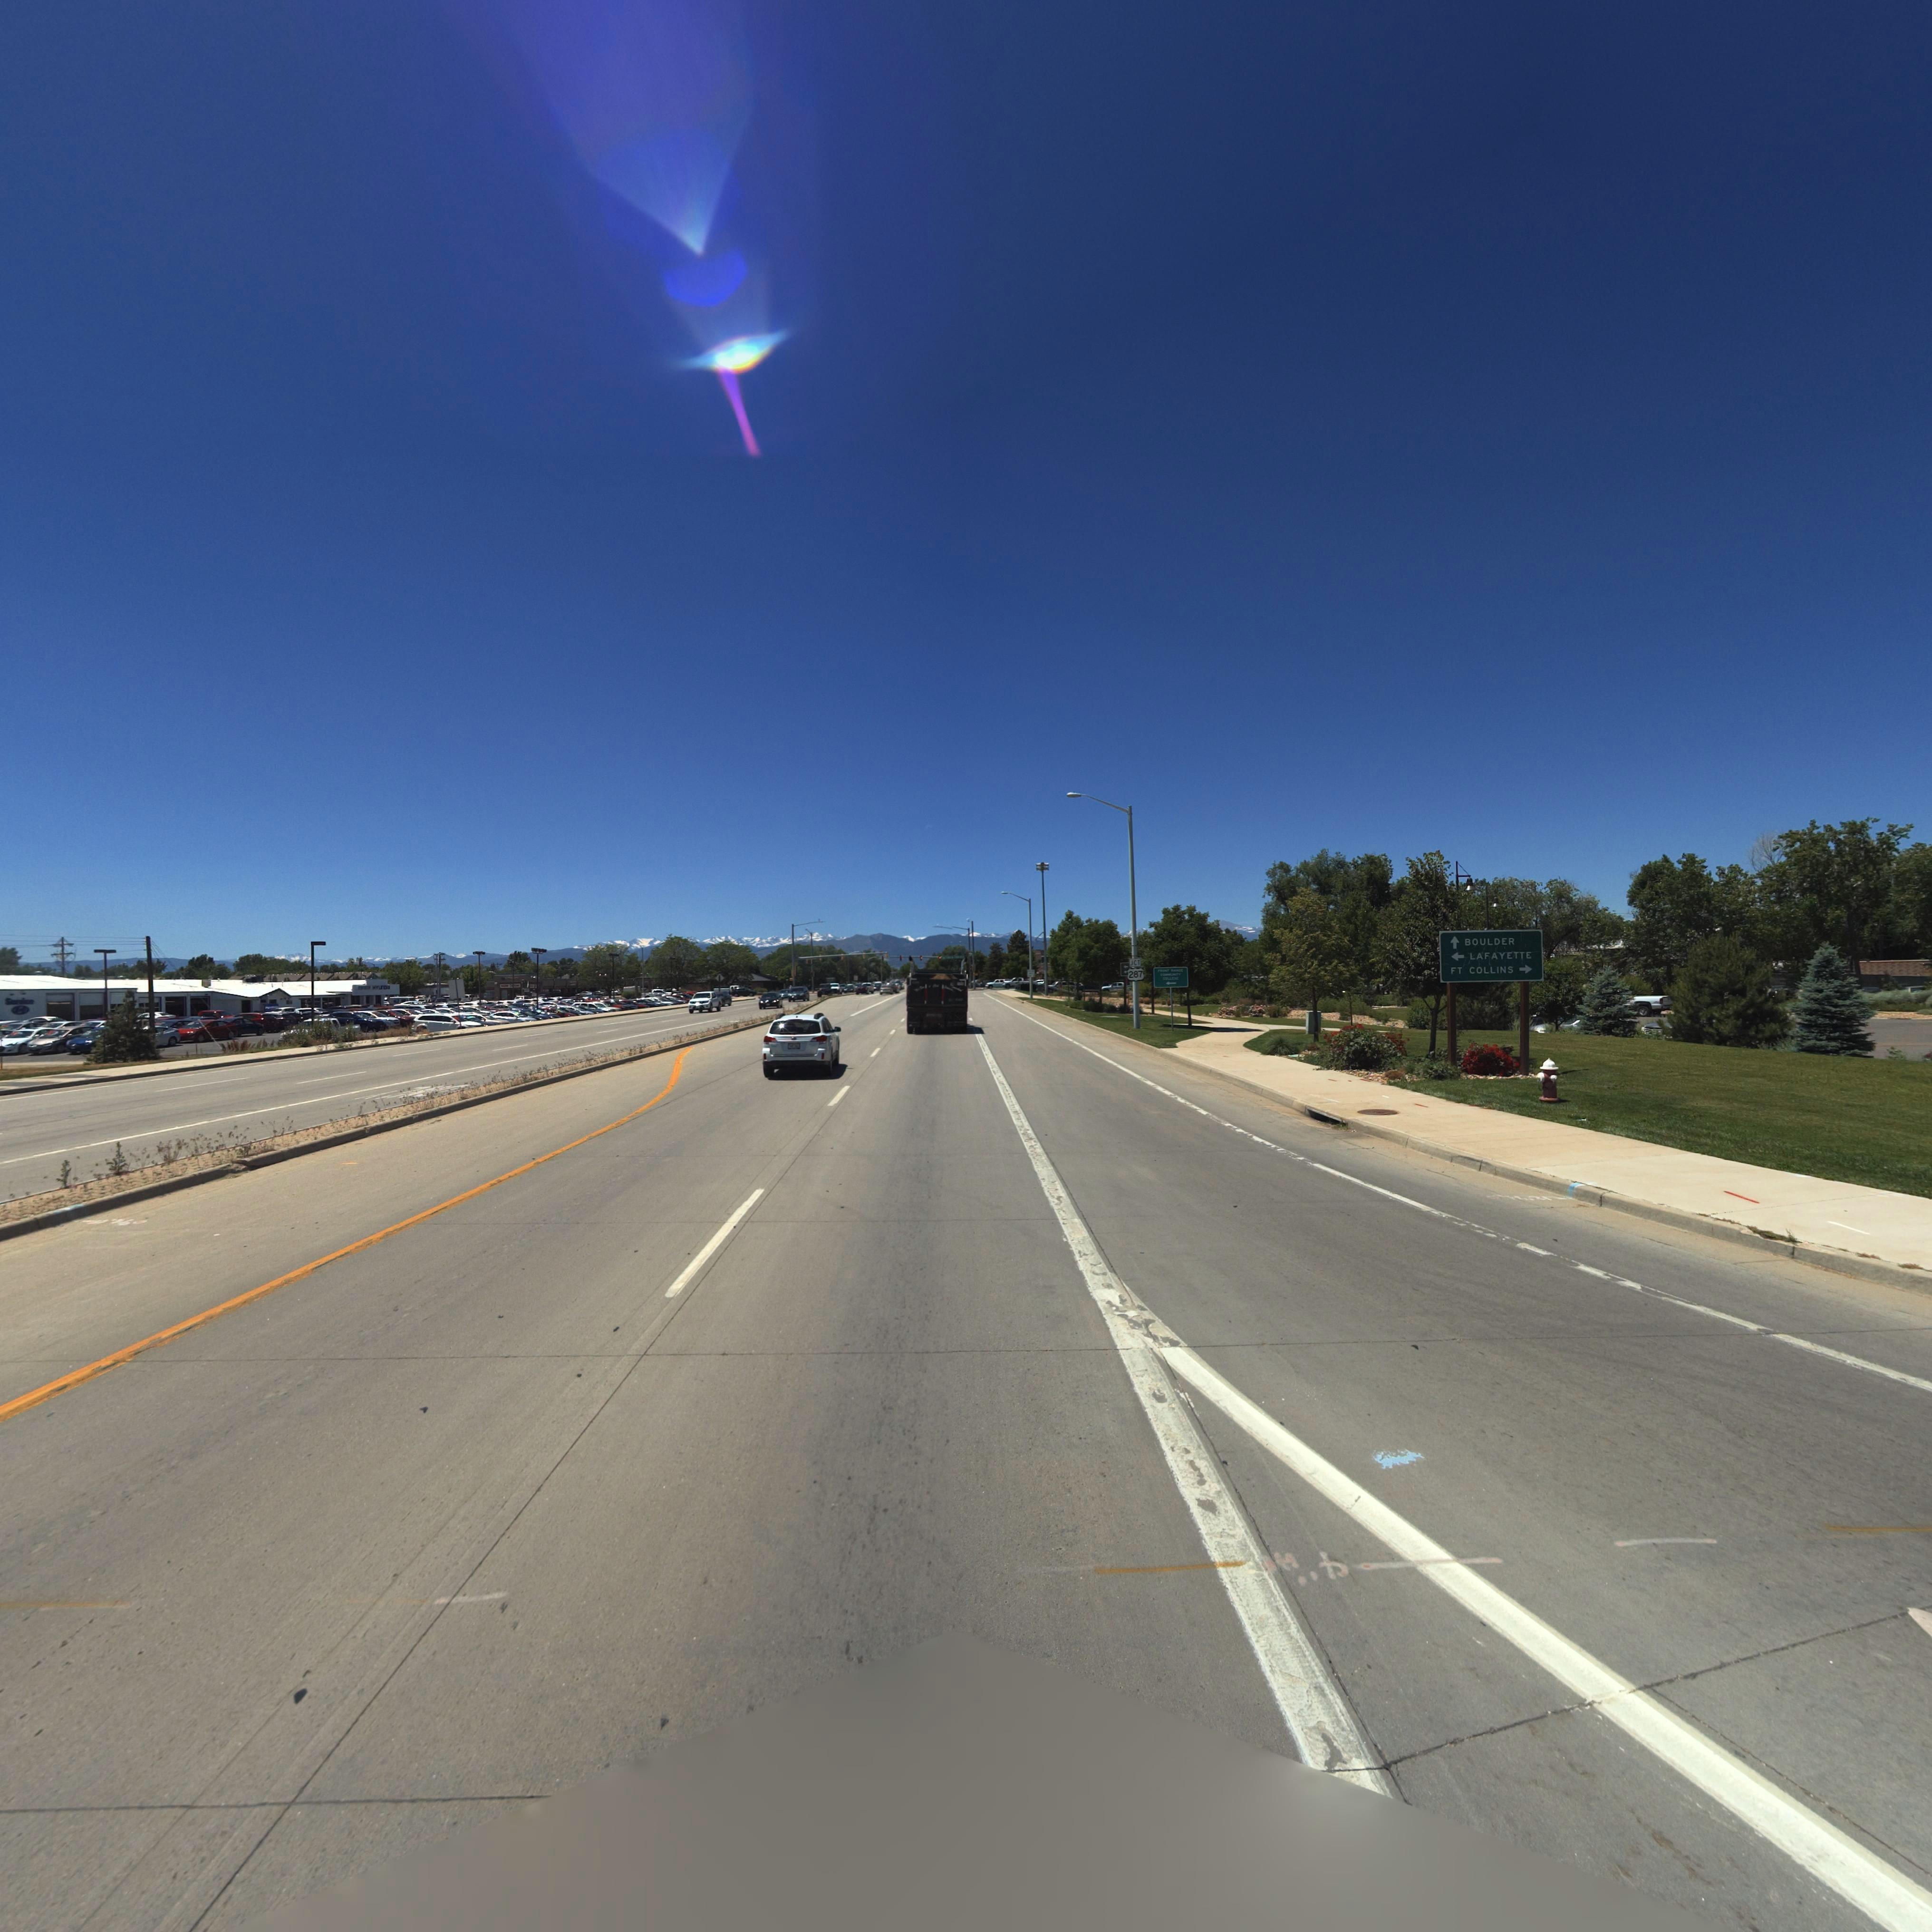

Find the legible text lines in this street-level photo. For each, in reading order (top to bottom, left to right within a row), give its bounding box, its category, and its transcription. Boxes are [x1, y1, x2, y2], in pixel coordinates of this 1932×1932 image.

[372, 985, 391, 990] BusinessName: H*U*DAI